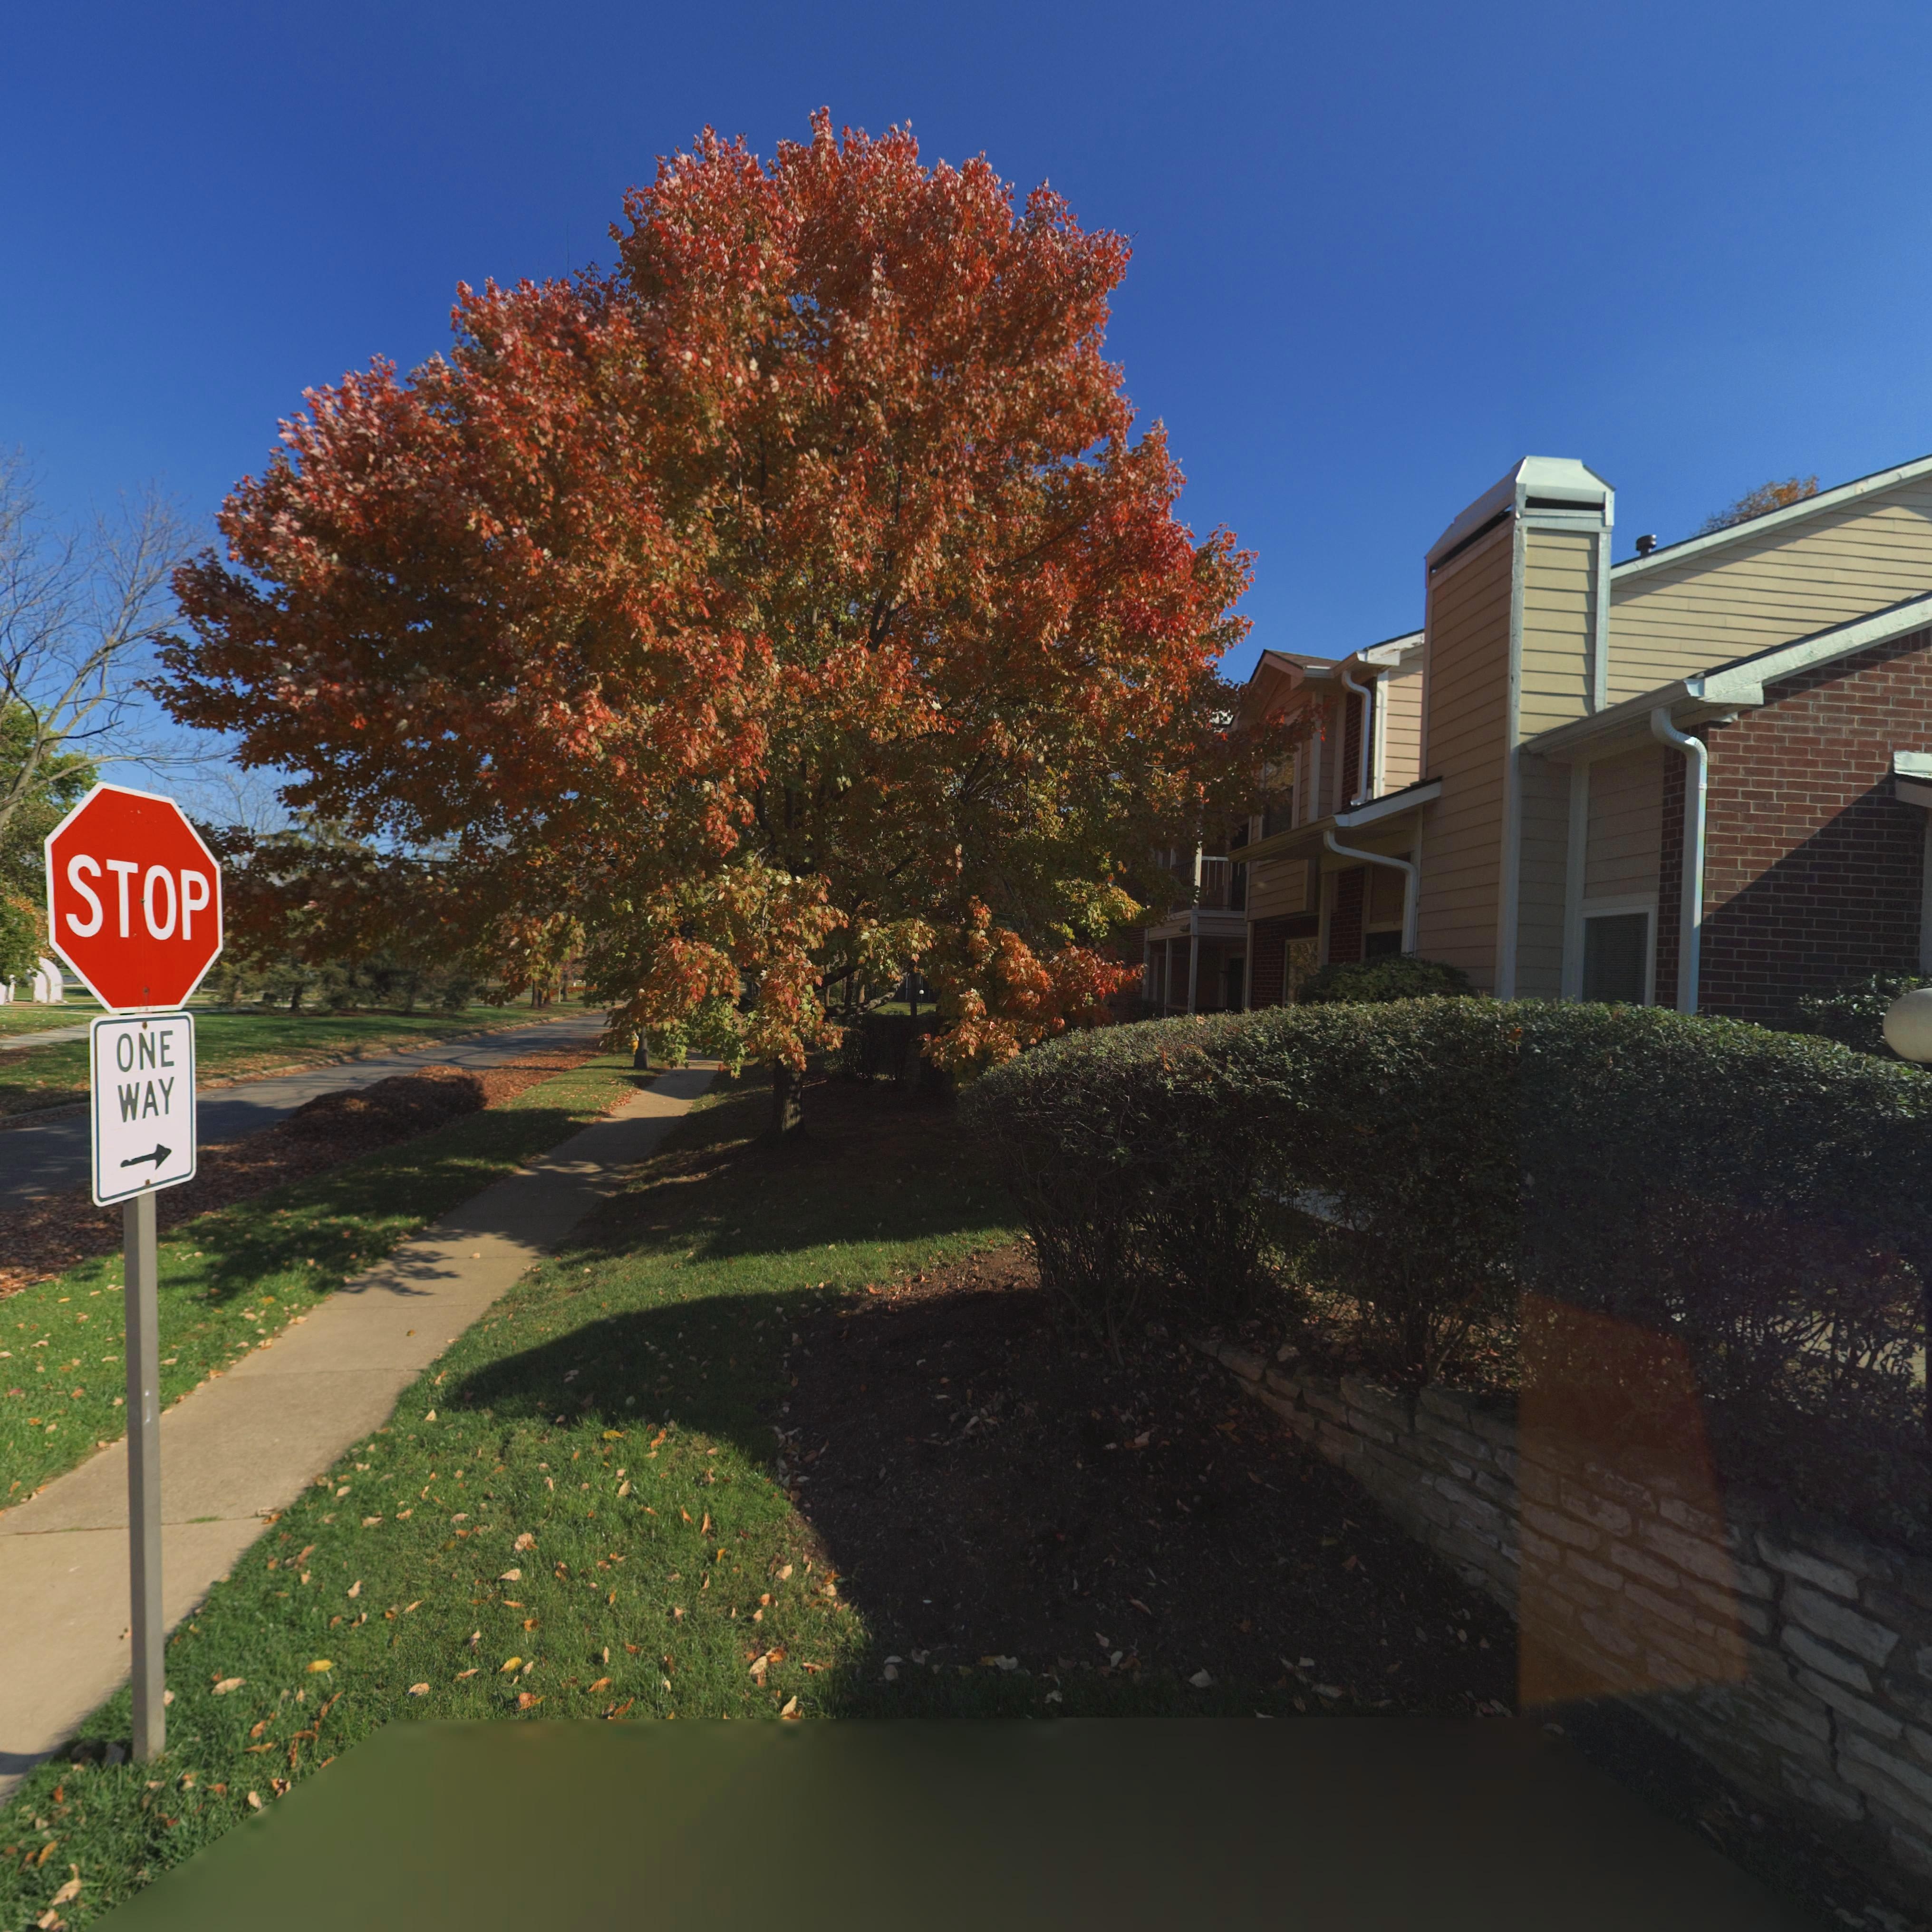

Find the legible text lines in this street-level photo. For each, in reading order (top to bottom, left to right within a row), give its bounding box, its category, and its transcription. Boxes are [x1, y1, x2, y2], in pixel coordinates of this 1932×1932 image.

[62, 847, 213, 945] None: STOP
[114, 1027, 177, 1076] None: ONE
[113, 1072, 177, 1126] None: WAY